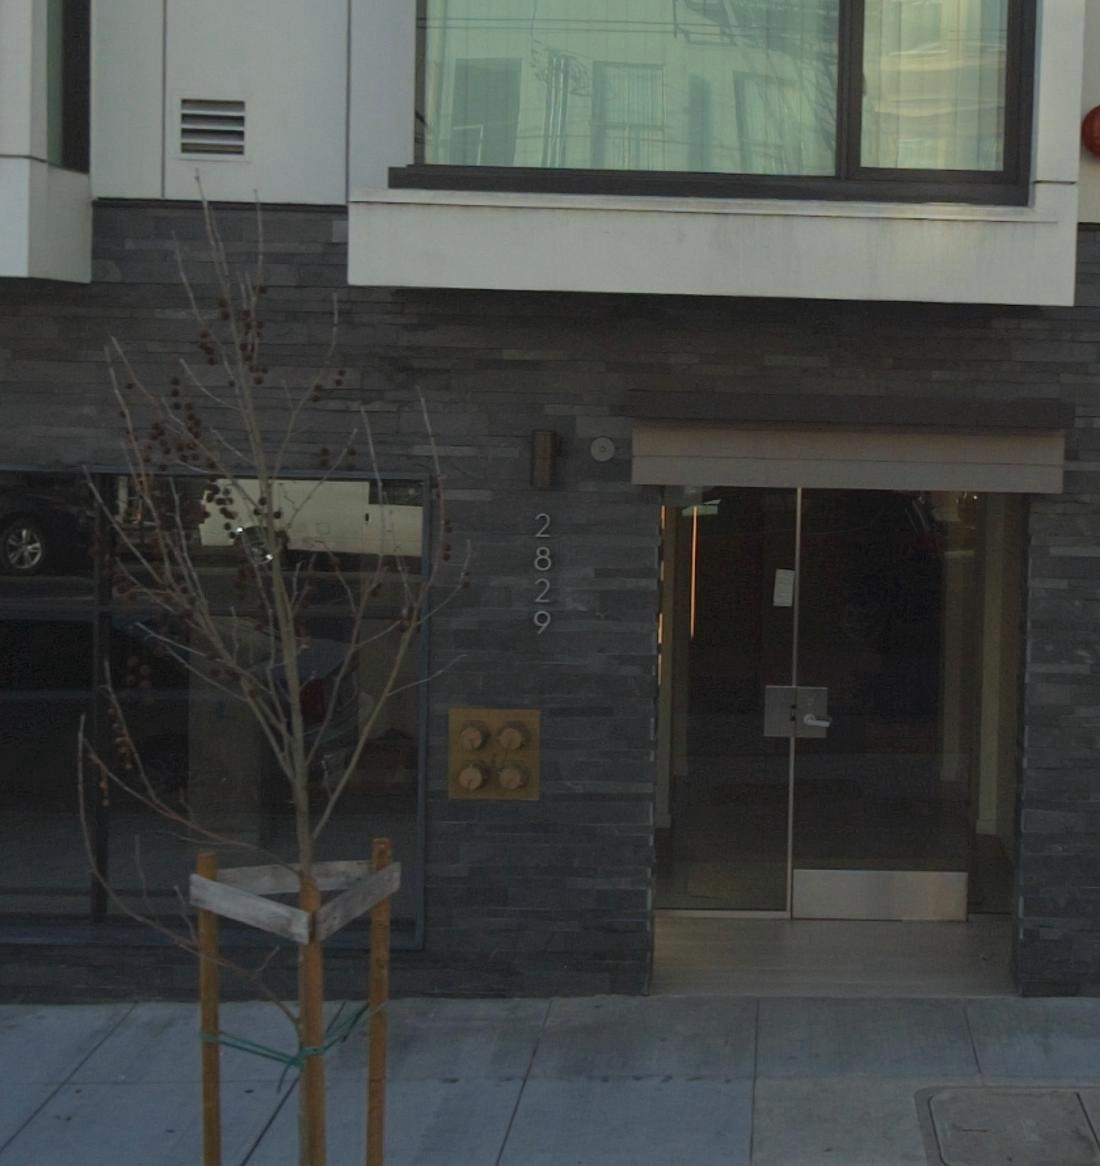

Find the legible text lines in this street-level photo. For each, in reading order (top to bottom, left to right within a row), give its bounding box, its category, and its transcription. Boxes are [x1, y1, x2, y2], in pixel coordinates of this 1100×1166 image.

[531, 510, 555, 637] StreetNumber: 2829